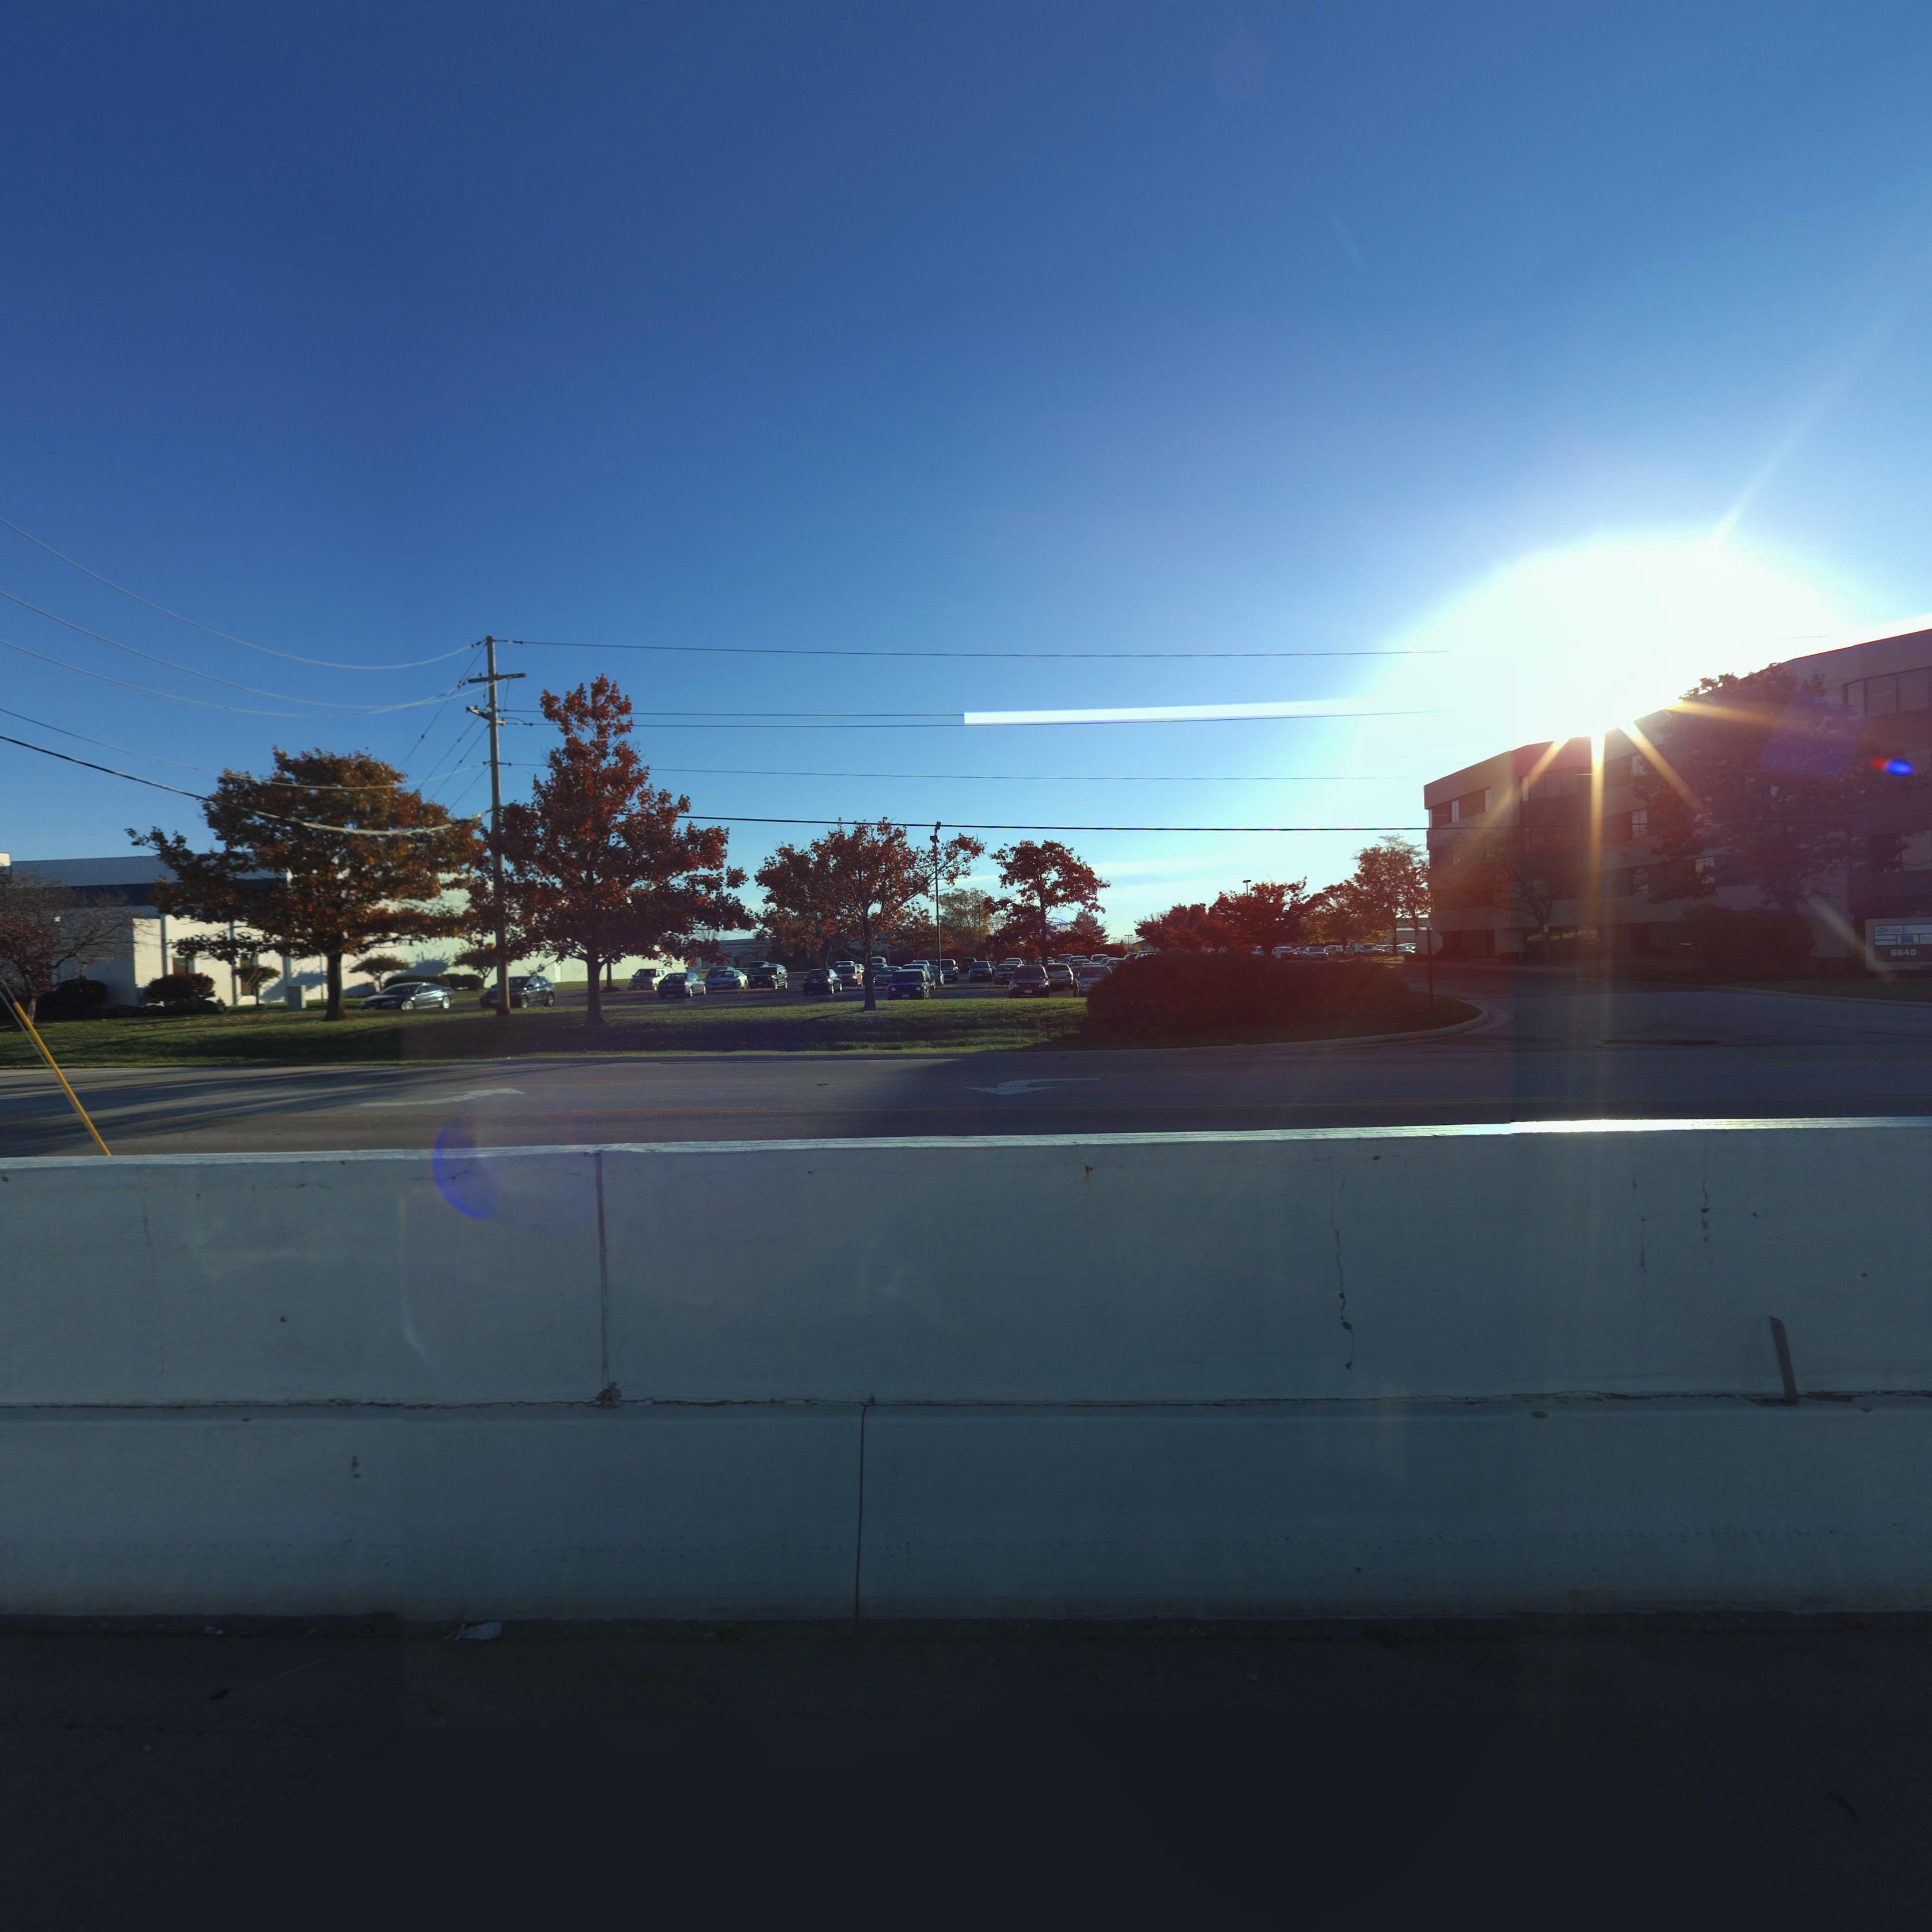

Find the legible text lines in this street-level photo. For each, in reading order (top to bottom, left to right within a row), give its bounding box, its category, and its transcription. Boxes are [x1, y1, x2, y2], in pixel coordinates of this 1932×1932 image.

[1890, 948, 1917, 957] StreetNumber: 6640